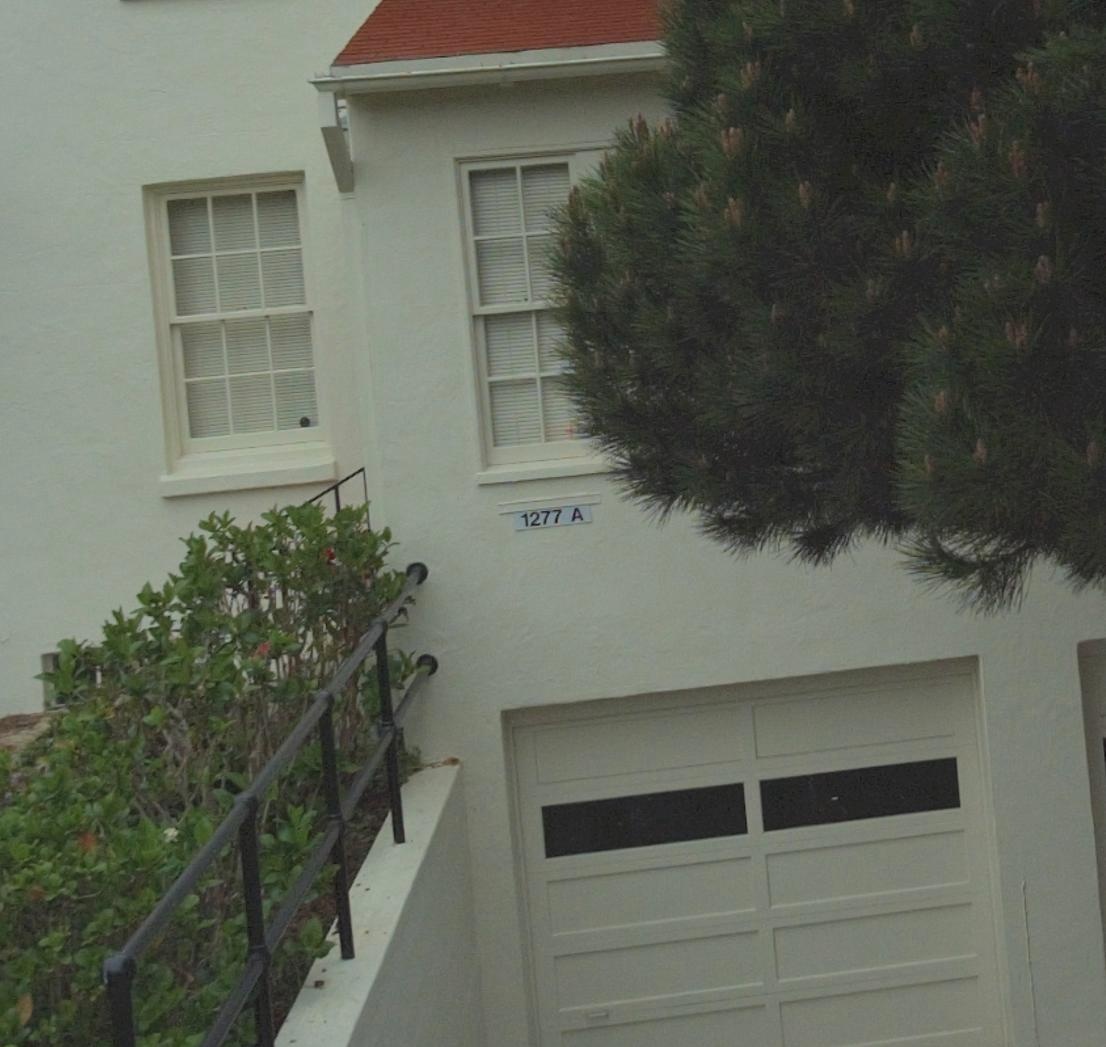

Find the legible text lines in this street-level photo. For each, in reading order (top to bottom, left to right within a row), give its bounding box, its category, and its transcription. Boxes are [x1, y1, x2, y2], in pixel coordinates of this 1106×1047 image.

[519, 506, 589, 528] StreetNumber: 1277 A